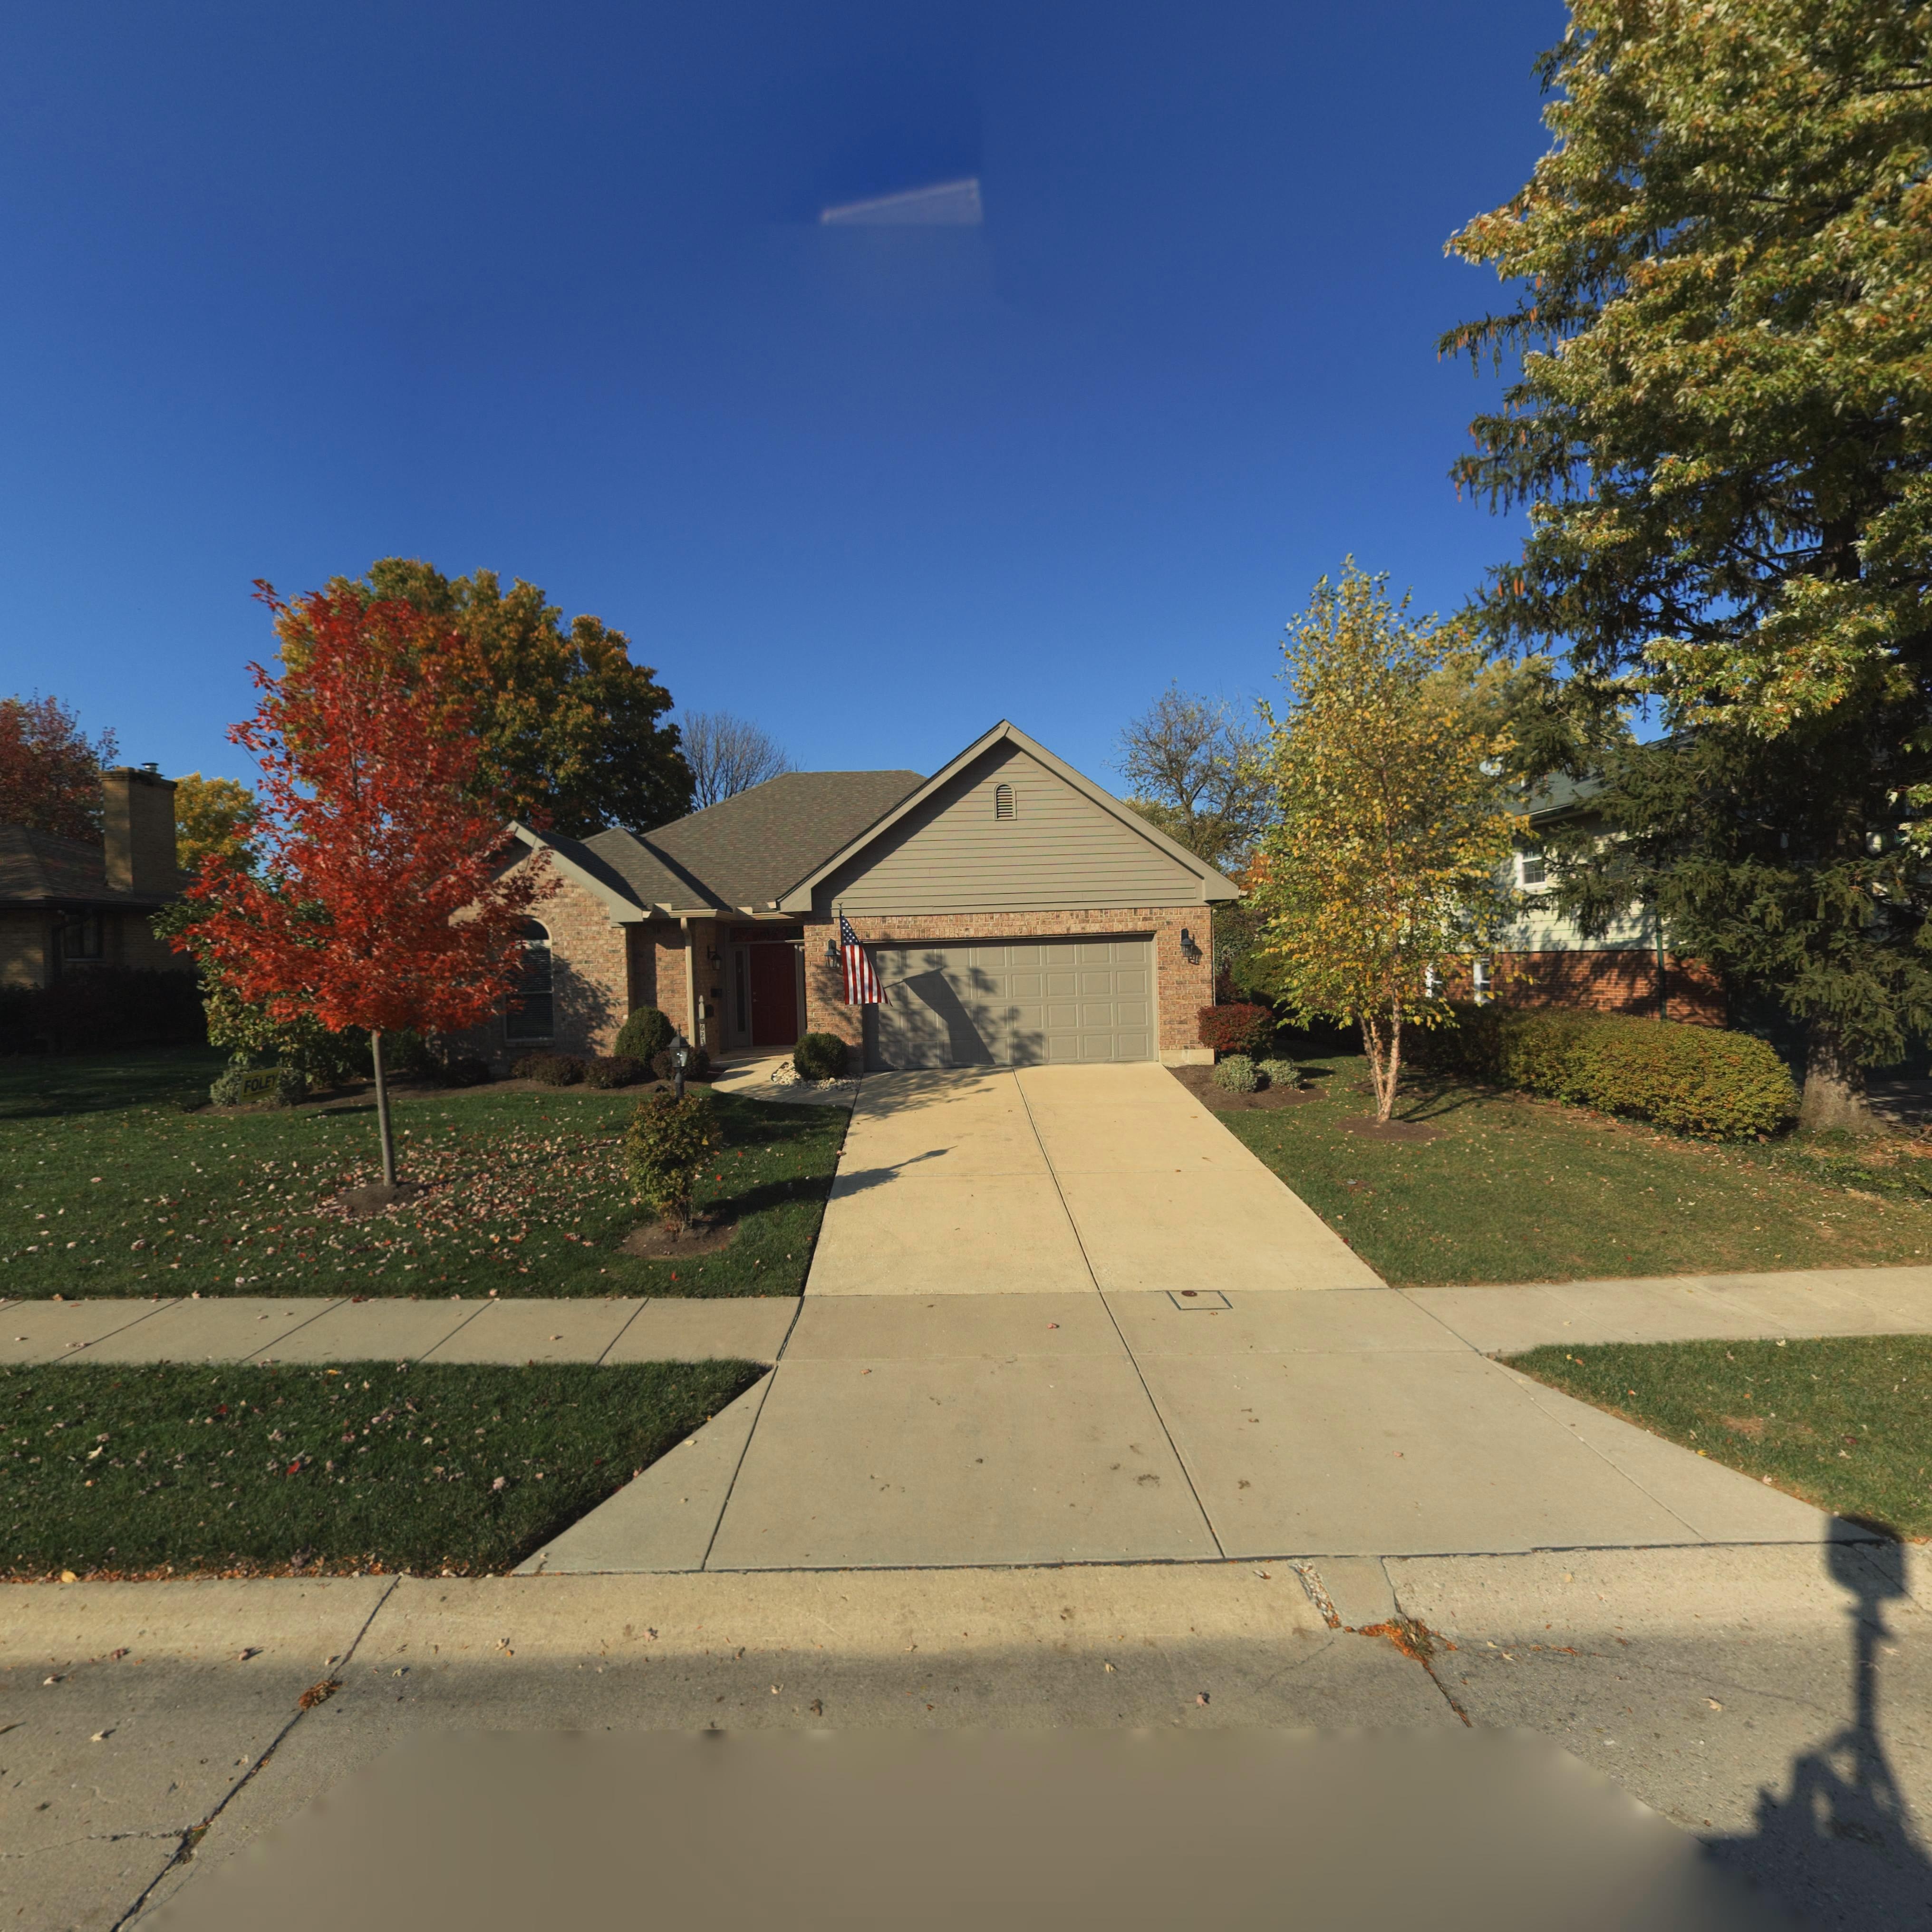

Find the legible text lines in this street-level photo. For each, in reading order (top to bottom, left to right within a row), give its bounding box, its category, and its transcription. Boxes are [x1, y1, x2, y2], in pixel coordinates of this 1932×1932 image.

[699, 1024, 705, 1046] StreetNumber: 623